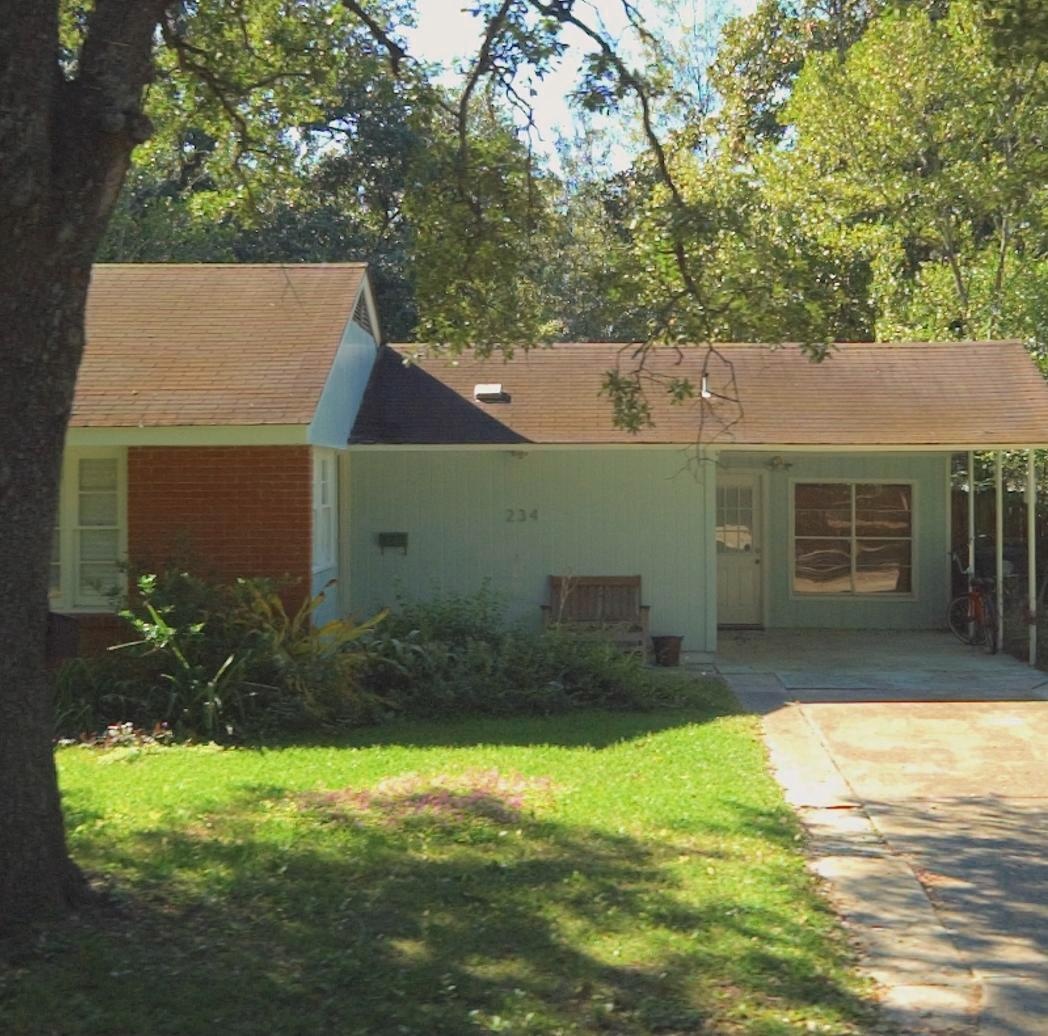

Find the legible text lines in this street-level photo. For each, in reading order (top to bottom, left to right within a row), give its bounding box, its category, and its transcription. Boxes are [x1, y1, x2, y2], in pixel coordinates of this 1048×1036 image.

[503, 507, 539, 524] StreetNumber: 234